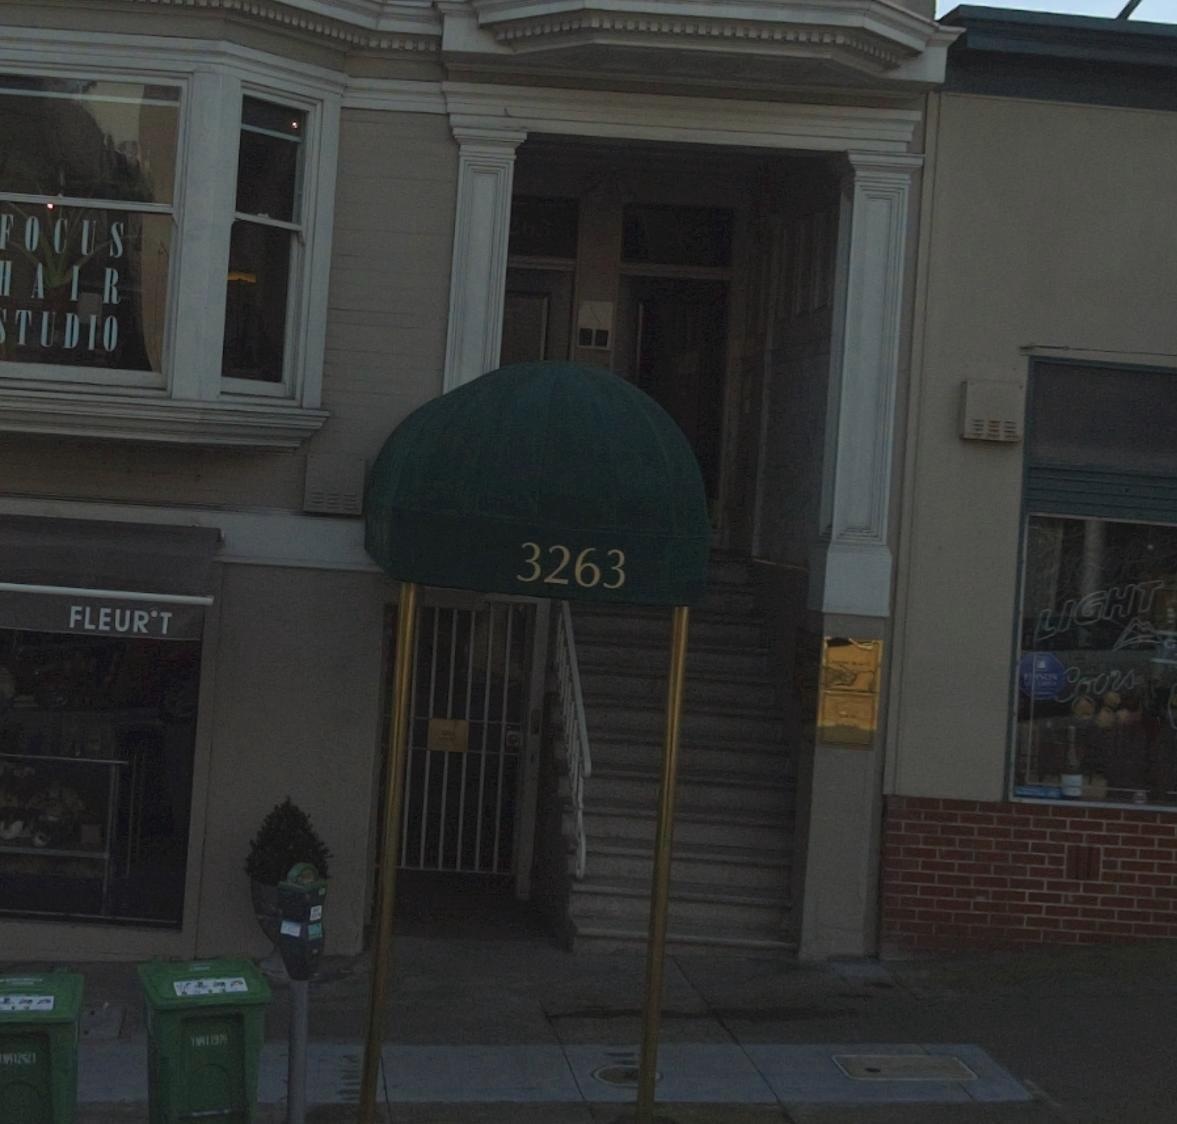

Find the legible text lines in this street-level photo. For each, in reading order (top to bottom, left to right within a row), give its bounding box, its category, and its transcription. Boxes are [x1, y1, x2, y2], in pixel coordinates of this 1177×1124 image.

[21, 211, 127, 262] None: OCUS
[26, 258, 124, 308] None: AIR
[10, 306, 121, 355] None: TUDIO
[511, 537, 630, 594] StreetNumber: 3263
[66, 602, 175, 638] None: FLEUR'T
[1028, 577, 1168, 648] None: LIGHT
[1047, 661, 1142, 707] None: Coors